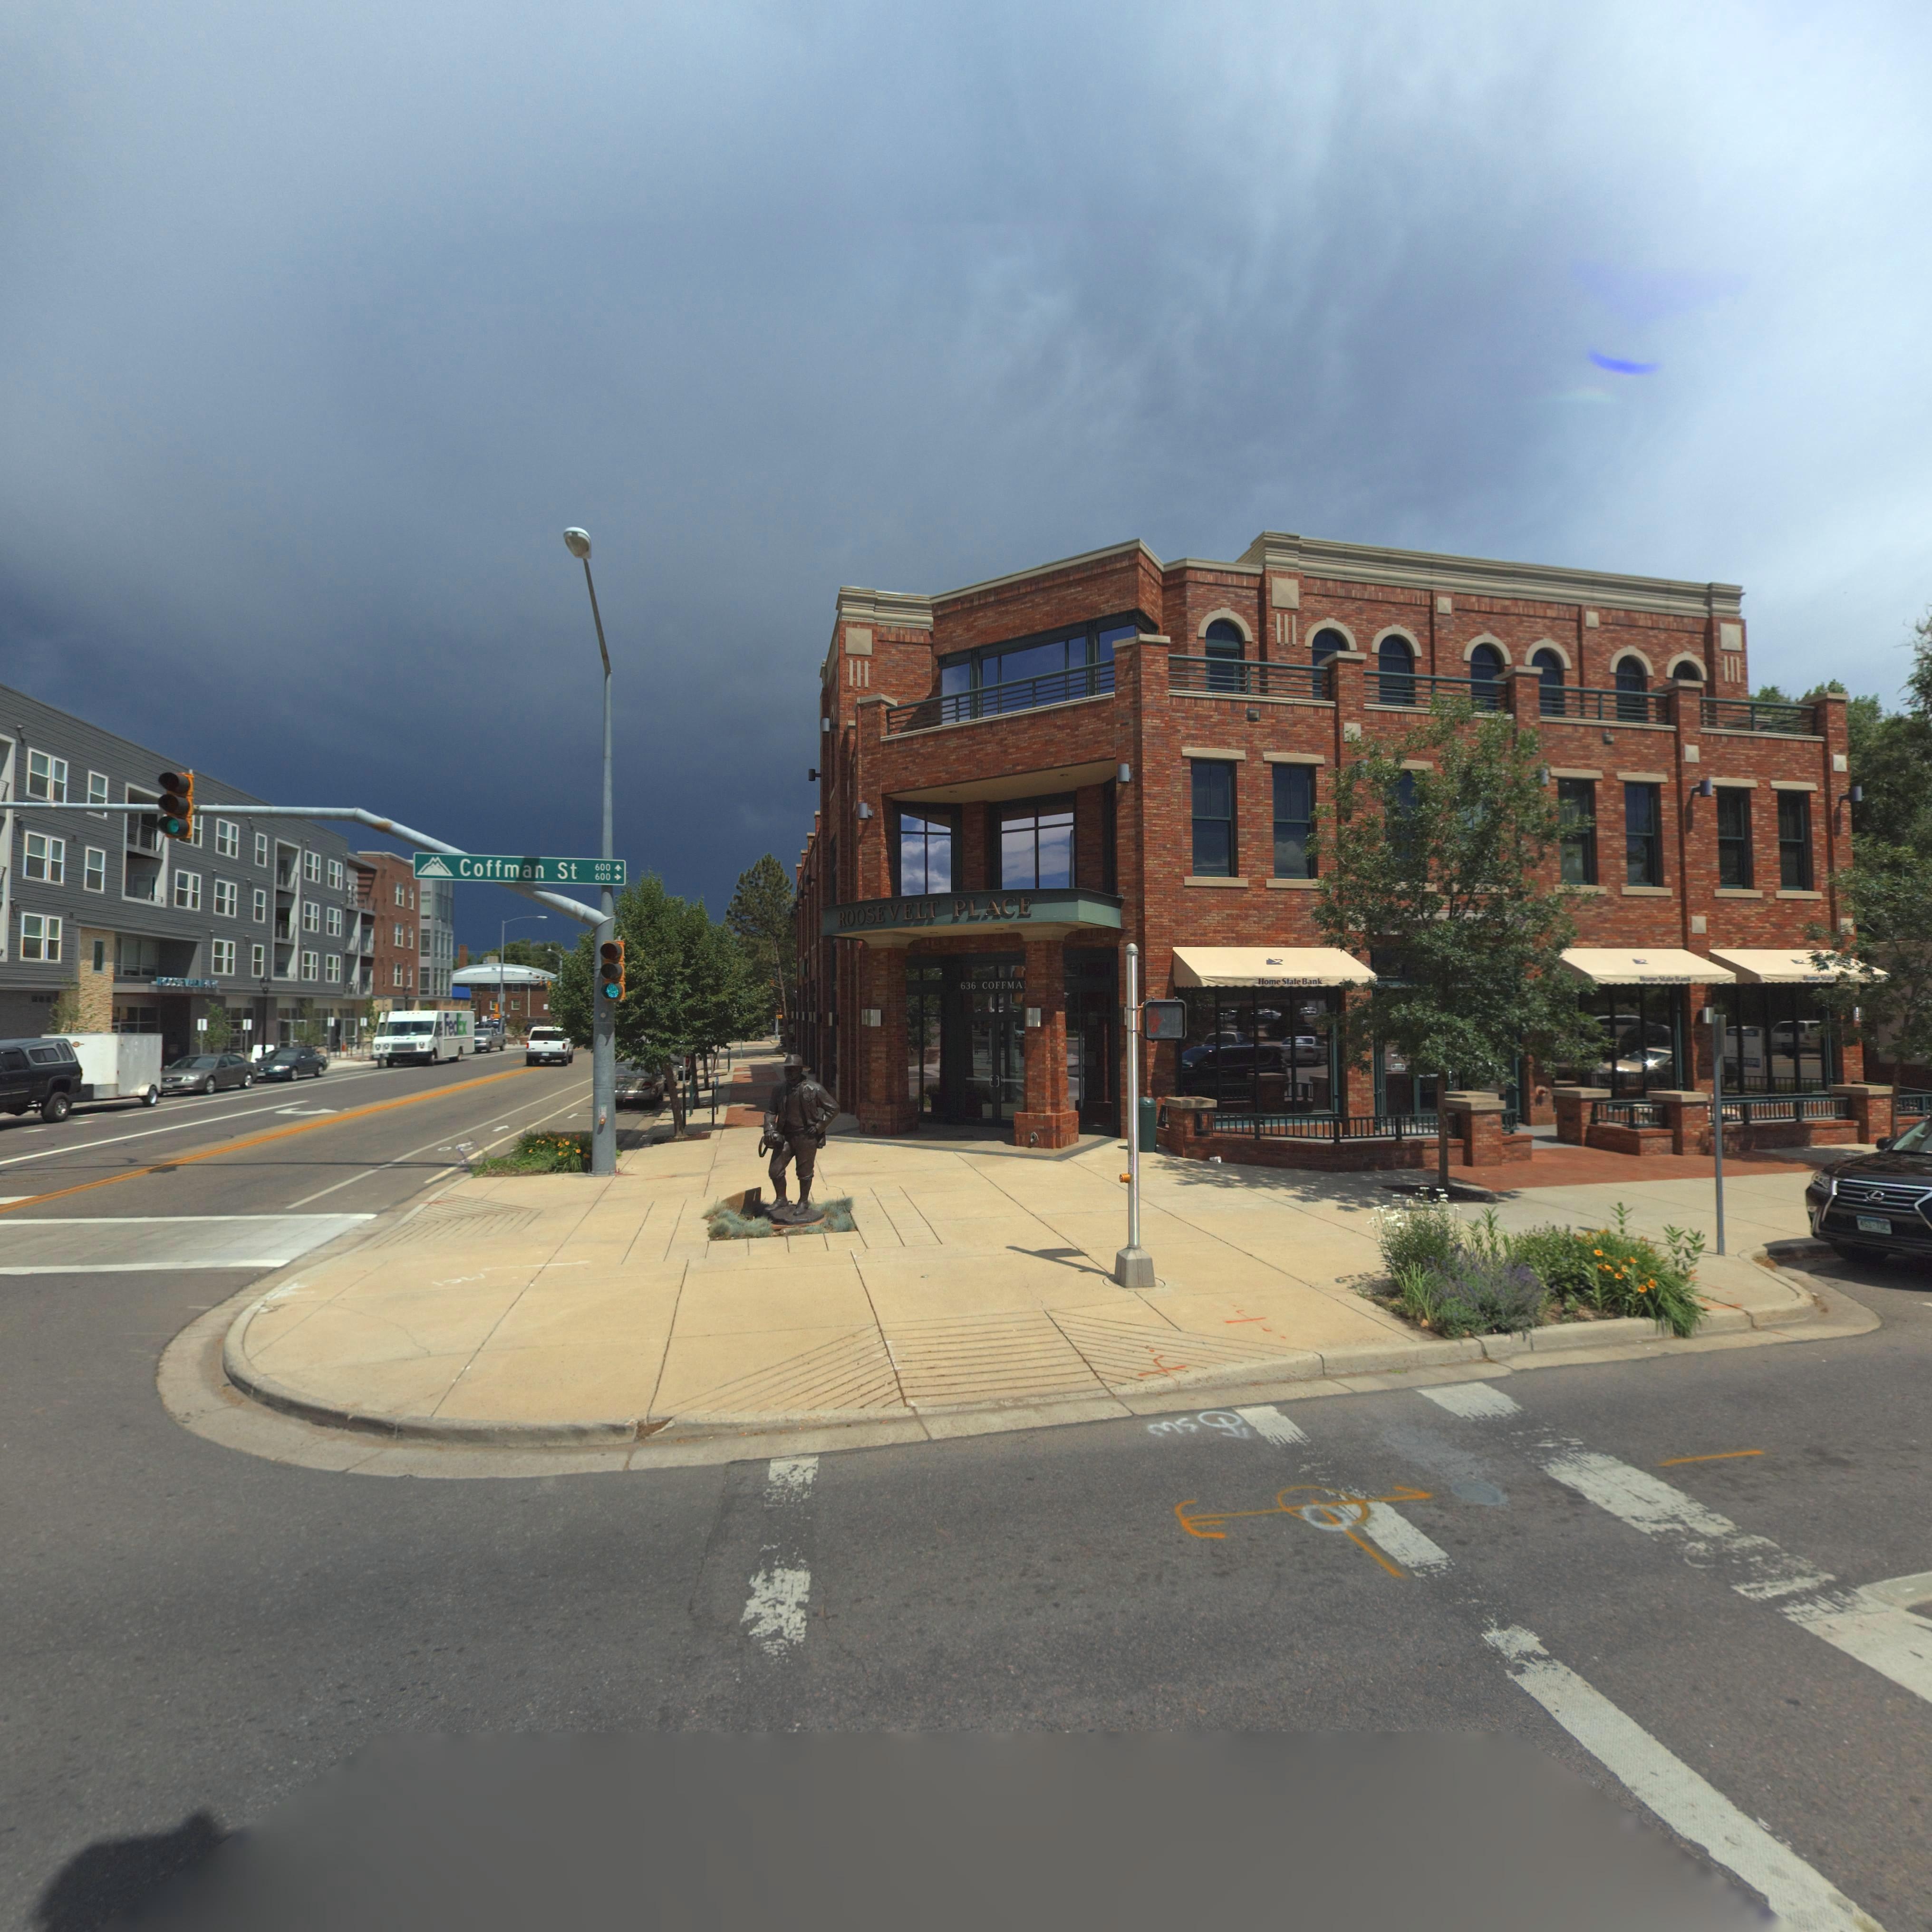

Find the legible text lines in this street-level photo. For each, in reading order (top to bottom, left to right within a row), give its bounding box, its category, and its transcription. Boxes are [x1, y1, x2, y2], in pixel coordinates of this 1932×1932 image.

[459, 858, 577, 879] StreetName: Coffman St
[595, 863, 610, 871] StreetNumberRange: 600
[595, 872, 622, 880] StreetNumberRange: 600 ->
[838, 897, 1032, 927] BusinessName: ROOSEVELT PLACE
[158, 976, 219, 988] BusinessName: ROOSE**** ***K
[960, 981, 976, 990] StreetNumber: 636
[982, 980, 1024, 989] StreetName: COFFMA
[1258, 977, 1323, 985] BusinessName: Home State Bank
[1639, 975, 1692, 982] BusinessName: Ho*e S*a*e Ba**
[1803, 974, 1834, 980] BusinessName: Ho** S*a**